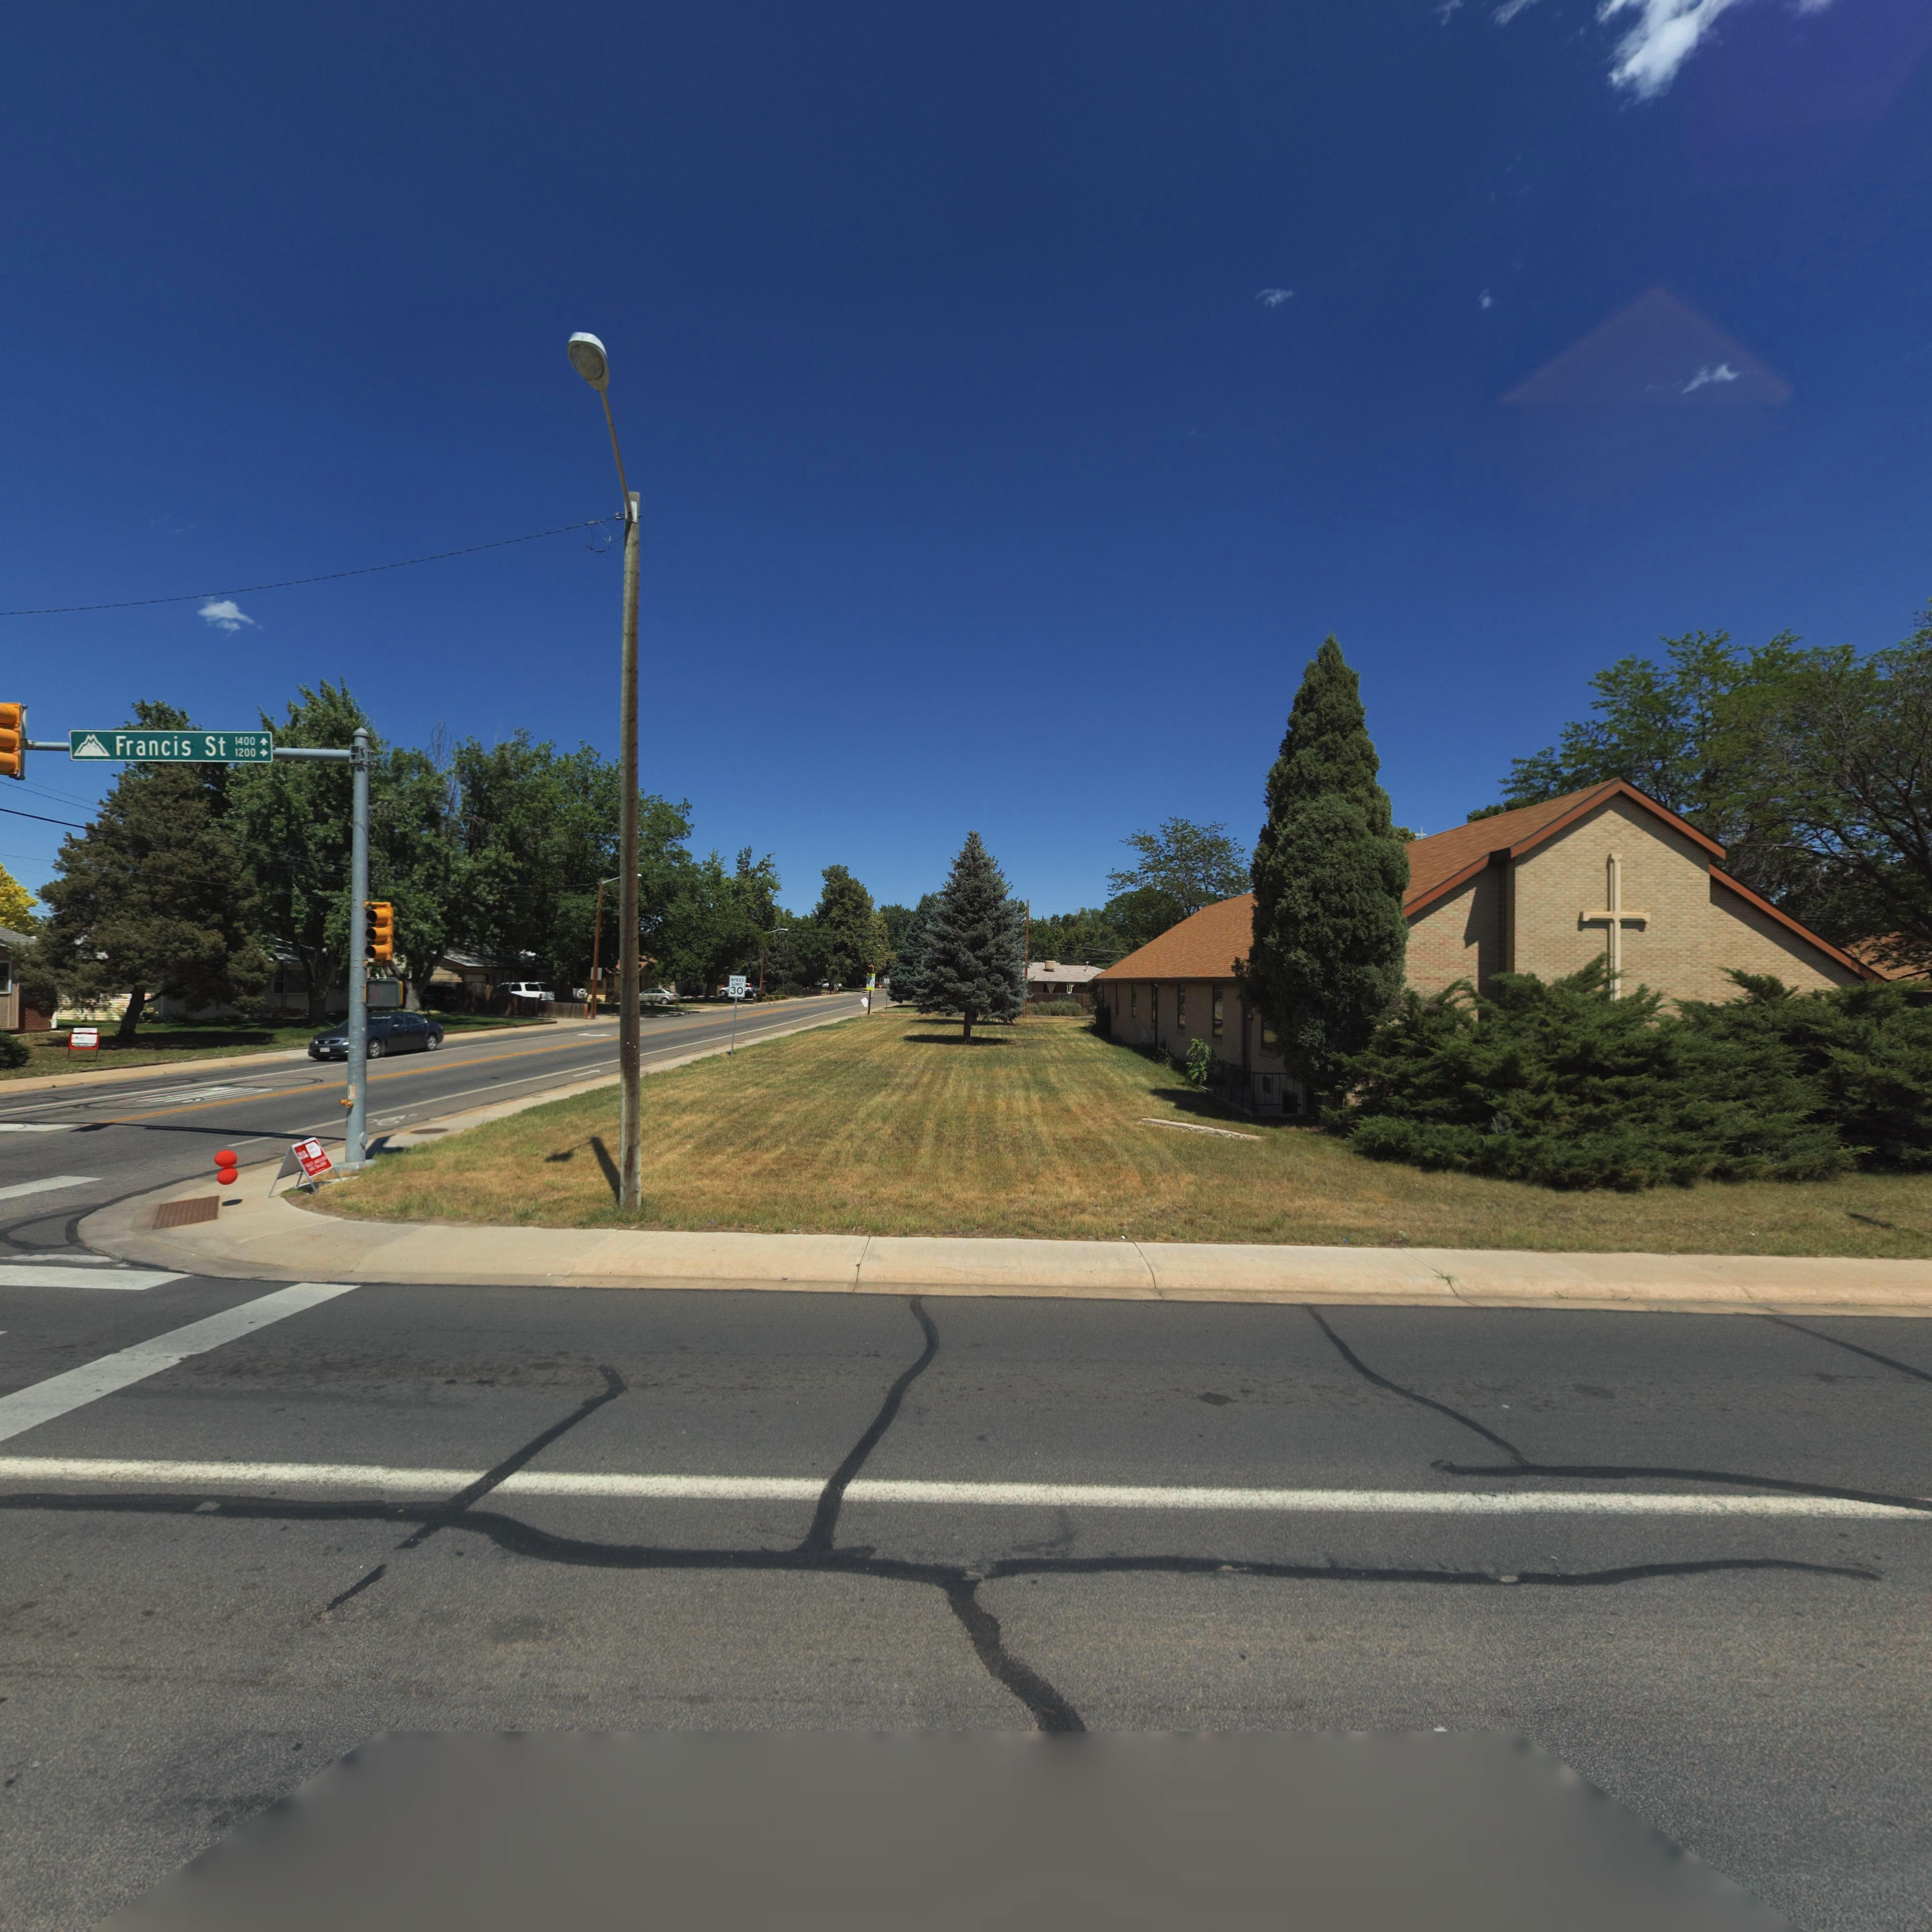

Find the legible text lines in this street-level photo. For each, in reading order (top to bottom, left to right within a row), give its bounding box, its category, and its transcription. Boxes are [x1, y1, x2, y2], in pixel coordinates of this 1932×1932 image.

[115, 734, 226, 756] StreetName: Francis St
[234, 736, 255, 745] StreetNumberRange: 1400
[234, 747, 270, 757] StreetNumberRange: 1200->